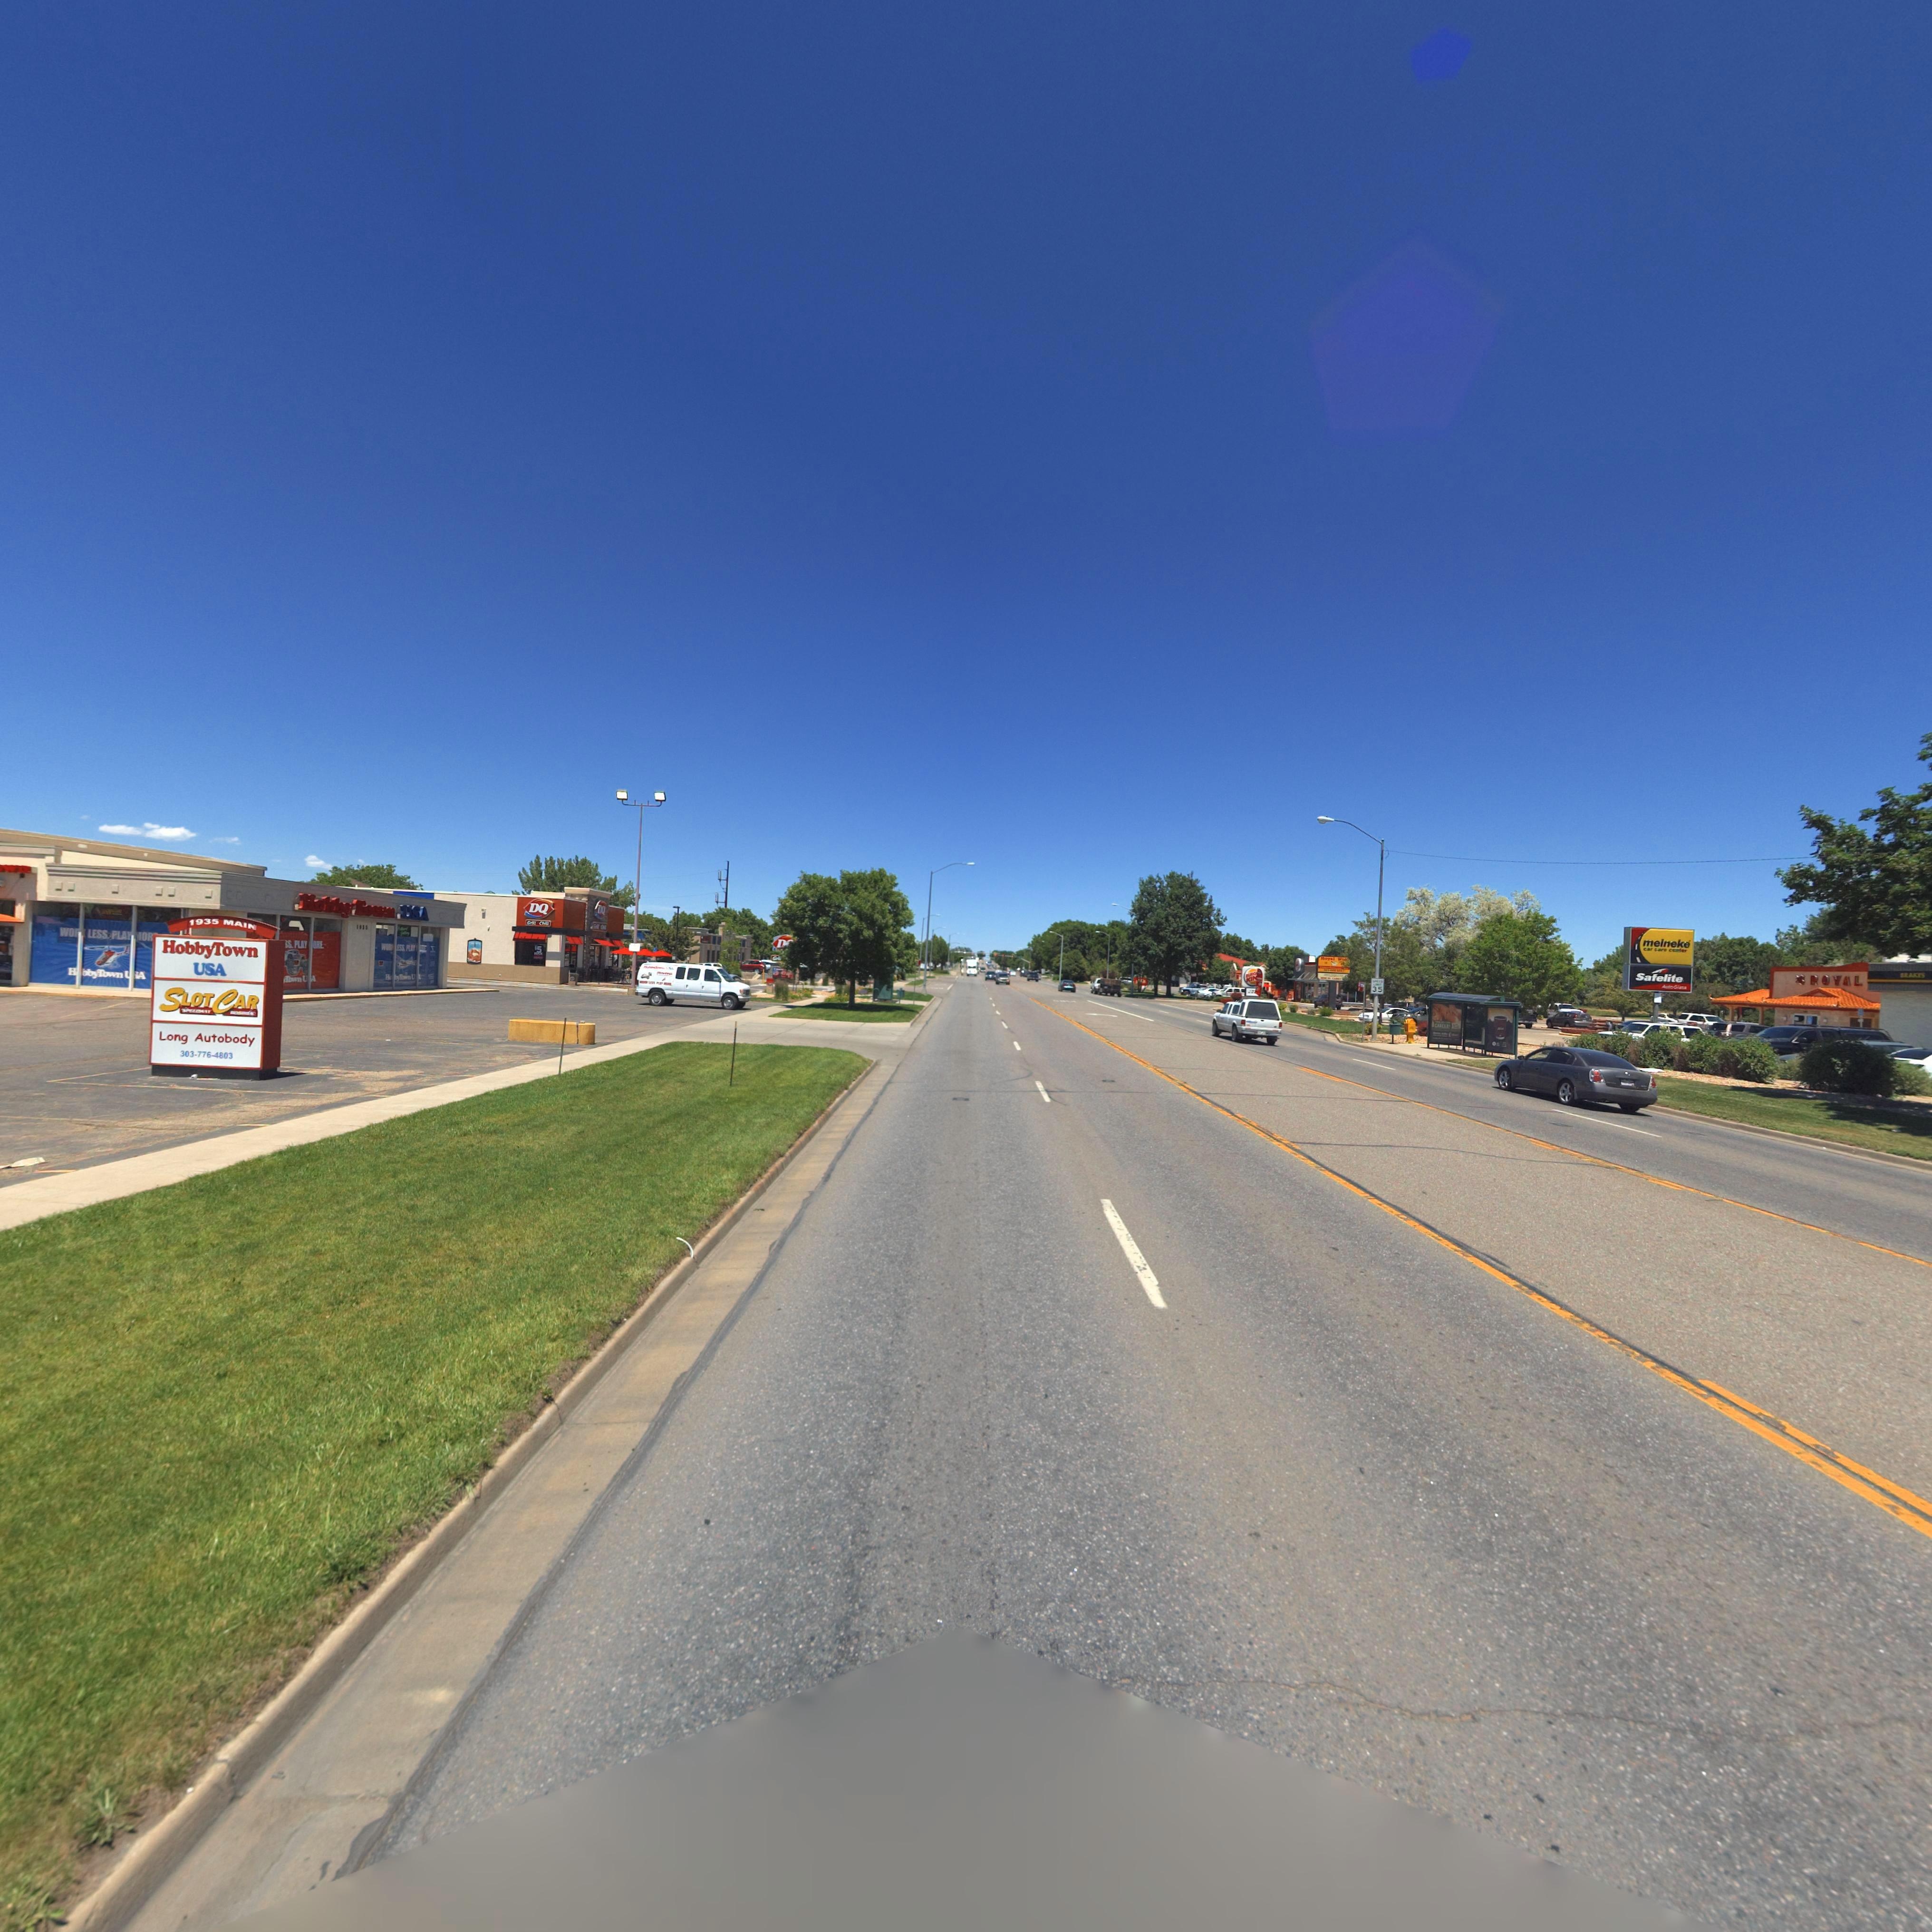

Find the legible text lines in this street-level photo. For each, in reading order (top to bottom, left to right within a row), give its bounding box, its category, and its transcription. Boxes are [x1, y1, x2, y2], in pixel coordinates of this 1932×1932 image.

[297, 892, 431, 921] BusinessName: Hobby Town USA
[528, 902, 549, 915] BusinessName: DQ
[597, 904, 606, 916] BusinessName: DQ
[188, 918, 219, 926] StreetNumber: 1935
[222, 918, 257, 930] StreetName: MAIN
[356, 924, 367, 930] StreetNumber: 1935
[526, 920, 549, 926] BusinessName: Grill&Chill
[593, 923, 607, 930] BusinessName: Grill&Chill
[776, 938, 796, 948] BusinessName: D*
[1642, 938, 1690, 948] BusinessName: meineke
[161, 939, 258, 959] BusinessName: HobbyTown
[1642, 947, 1686, 952] BusinessName: car care center
[772, 956, 782, 960] BusinessName: Gril
[1321, 956, 1335, 960] BusinessName: Royal
[1337, 957, 1348, 961] BusinessName: W**
[192, 962, 227, 976] BusinessName: USA
[1246, 971, 1257, 978] BusinessName: BURG
[1246, 975, 1257, 982] BusinessName: KIN
[1634, 972, 1684, 983] BusinessName: Safelite
[1810, 975, 1863, 986] BusinessName: ROYAL
[1661, 984, 1687, 989] BusinessName: AutoGlass
[159, 987, 260, 1014] BusinessName: SlotCar
[158, 1030, 257, 1048] BusinessName: Long Autobody